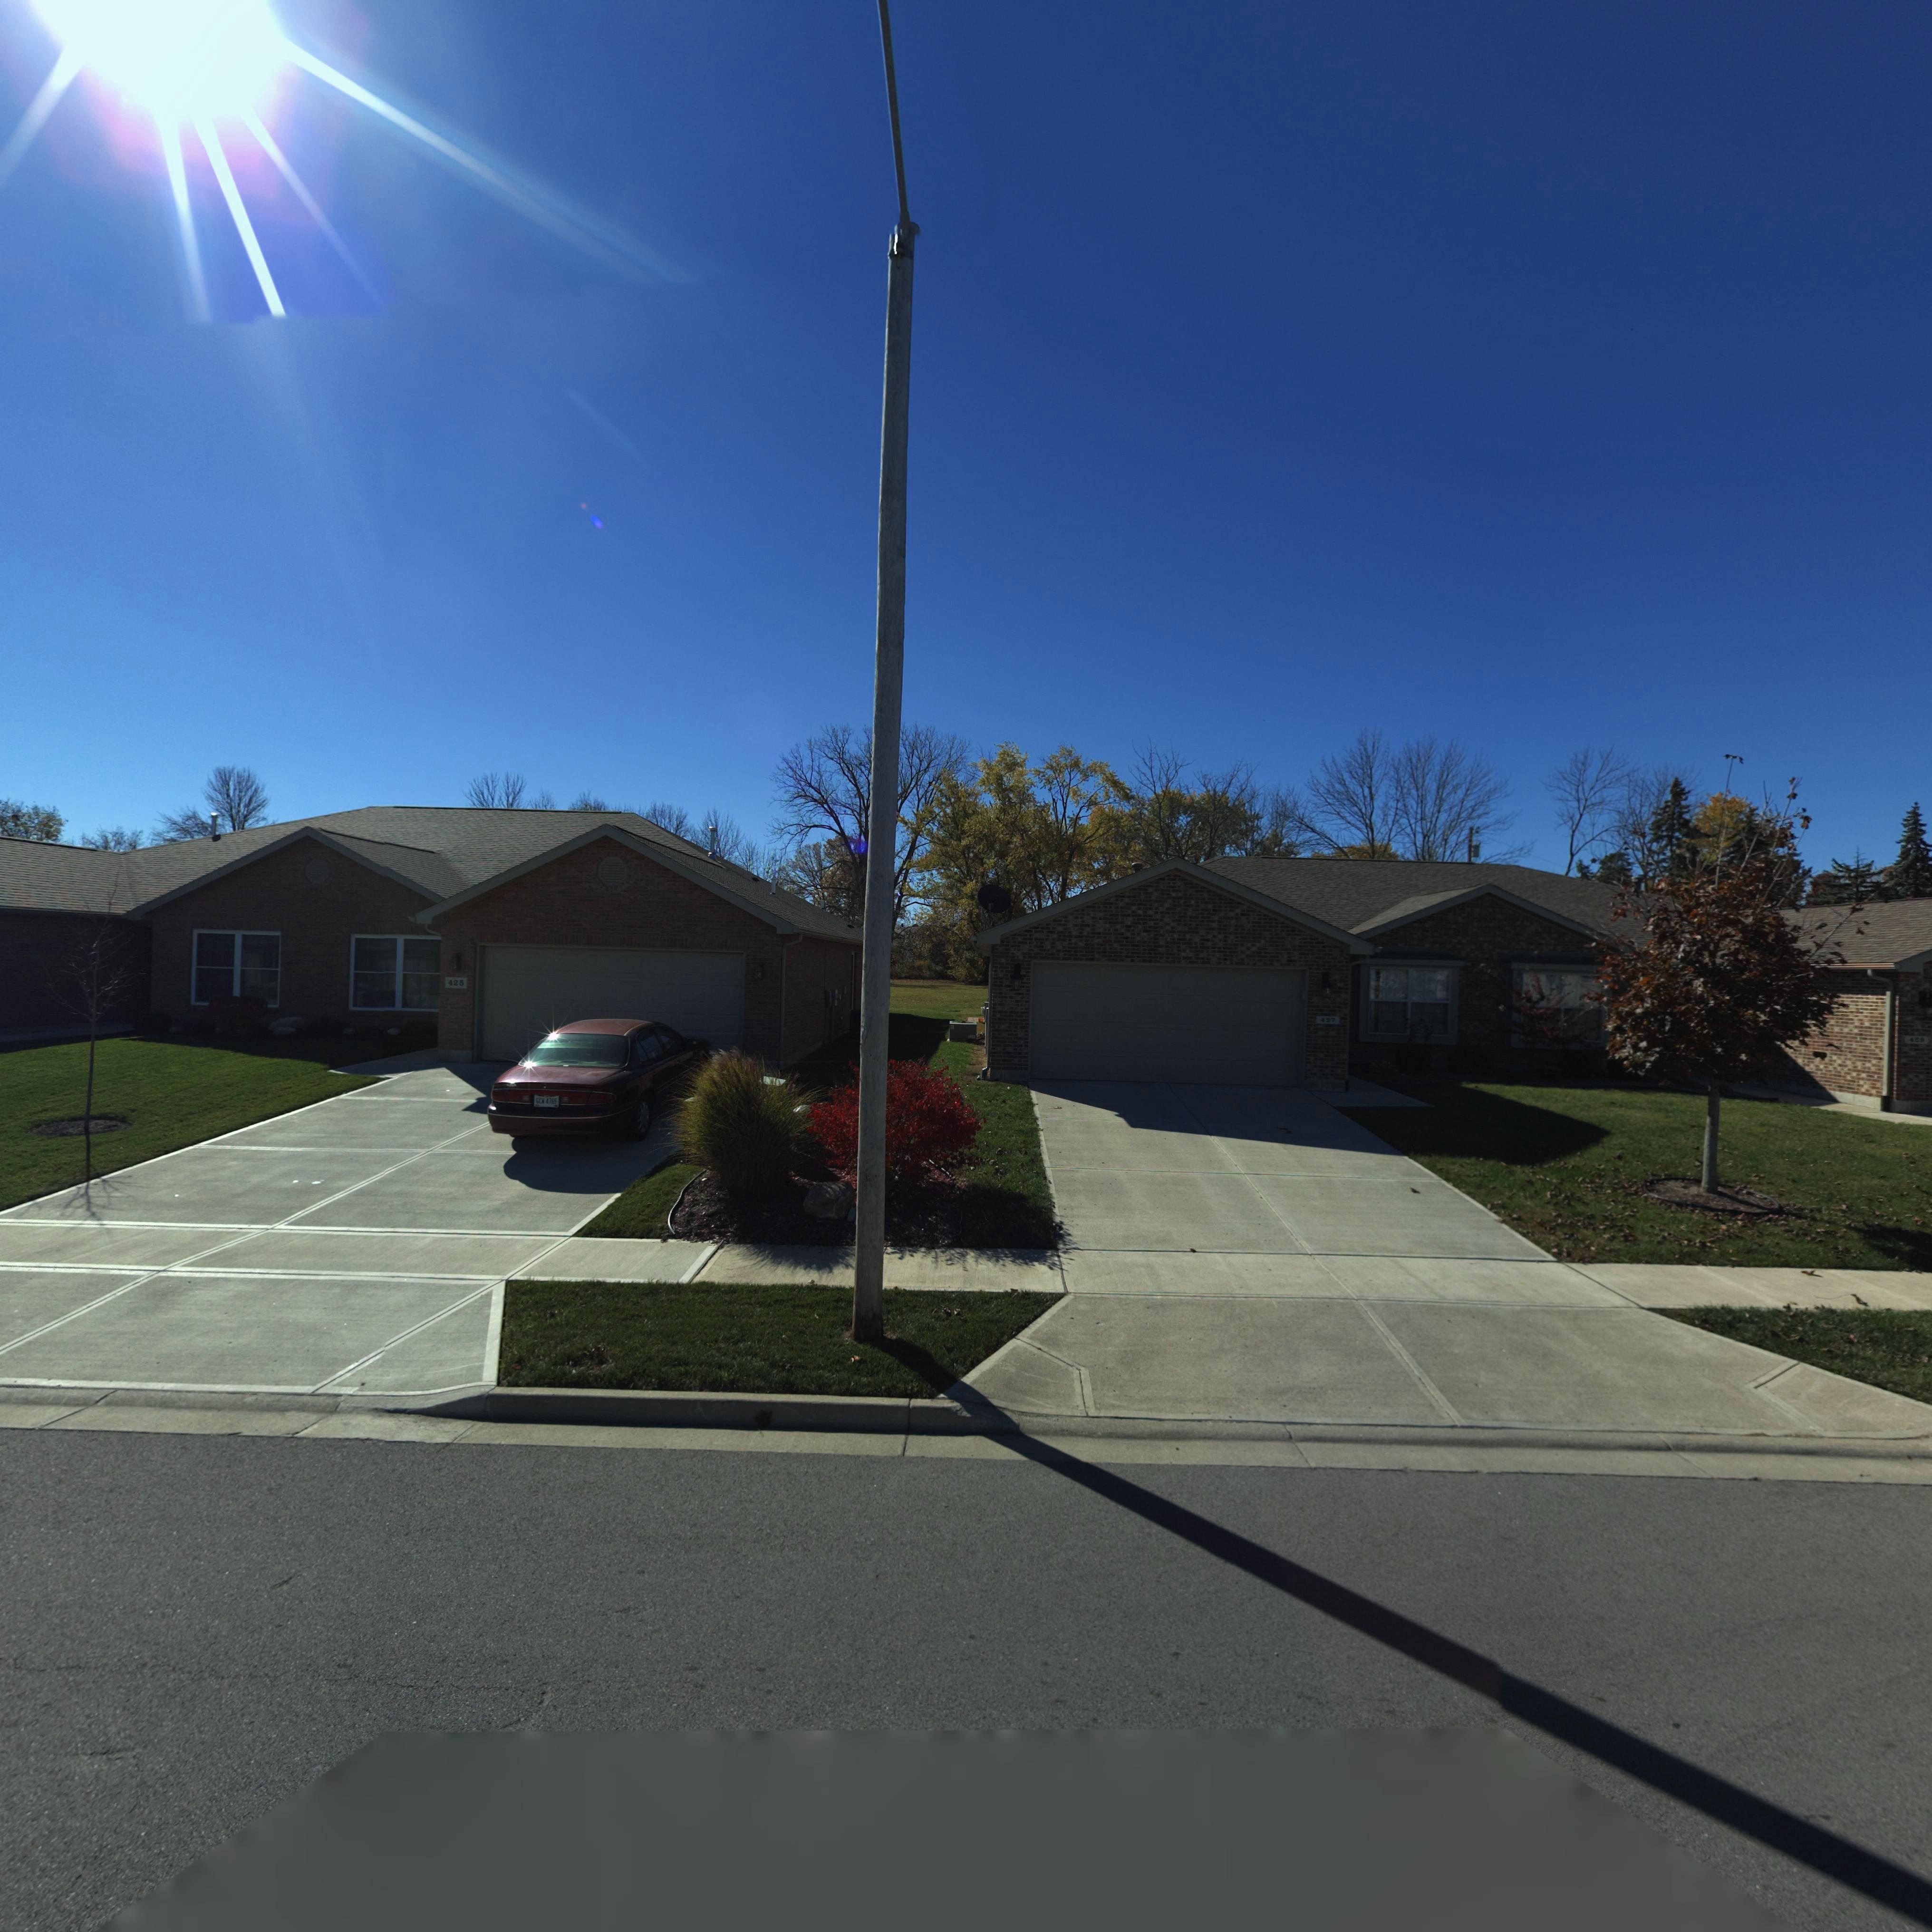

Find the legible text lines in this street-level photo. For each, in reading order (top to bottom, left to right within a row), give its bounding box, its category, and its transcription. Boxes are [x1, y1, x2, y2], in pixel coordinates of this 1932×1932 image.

[446, 978, 465, 987] StreetNumber: 425
[1320, 1016, 1336, 1024] StreetNumber: 427
[1908, 1036, 1926, 1043] StreetNumber: 428